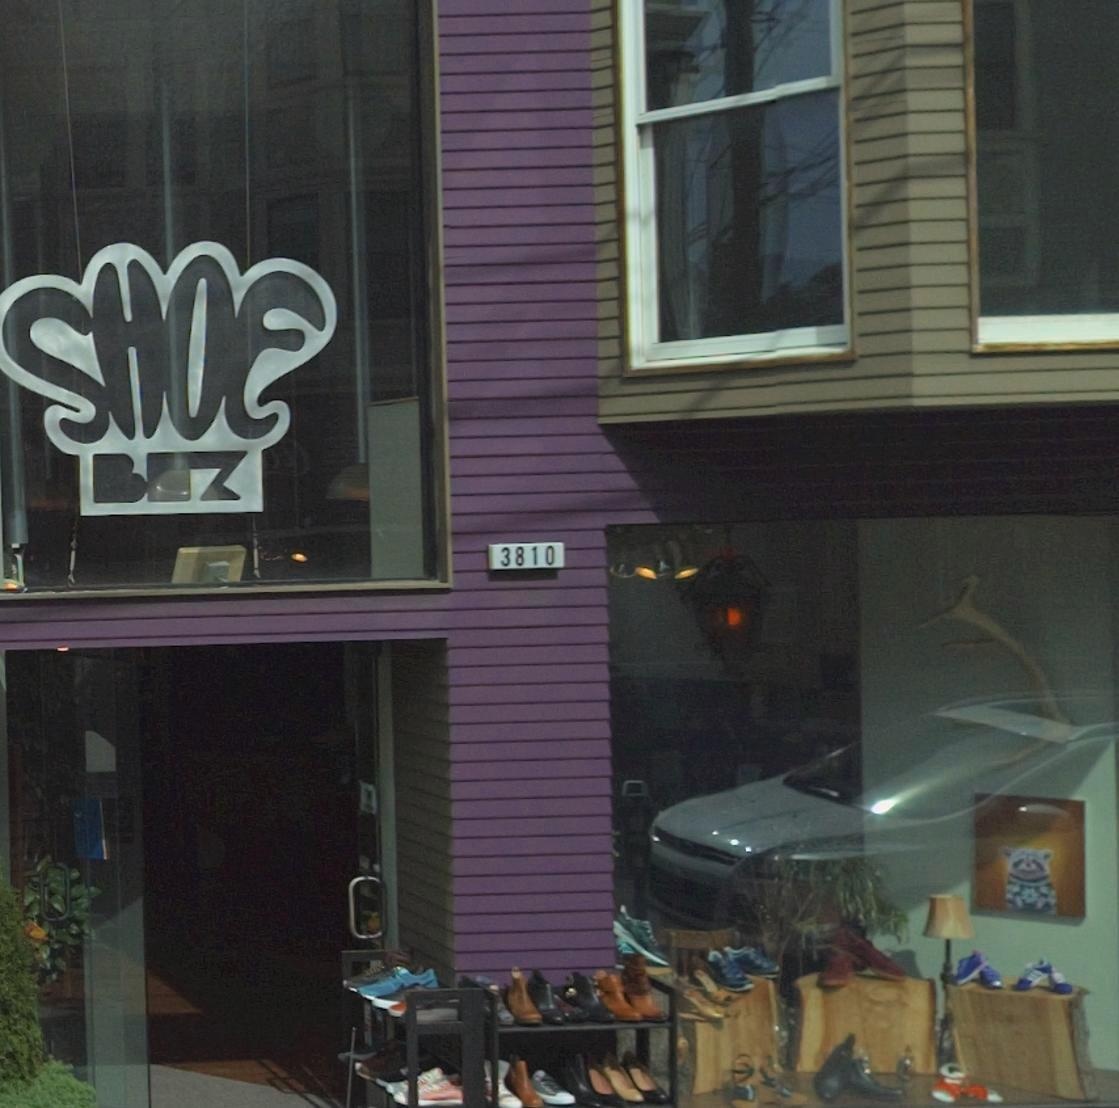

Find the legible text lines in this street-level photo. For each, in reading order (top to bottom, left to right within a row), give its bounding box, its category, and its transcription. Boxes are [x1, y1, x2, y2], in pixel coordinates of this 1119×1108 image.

[0, 248, 333, 451] BusinessName: SHOE
[87, 446, 253, 507] BusinessName: B**
[500, 543, 557, 569] StreetNumber: 3810